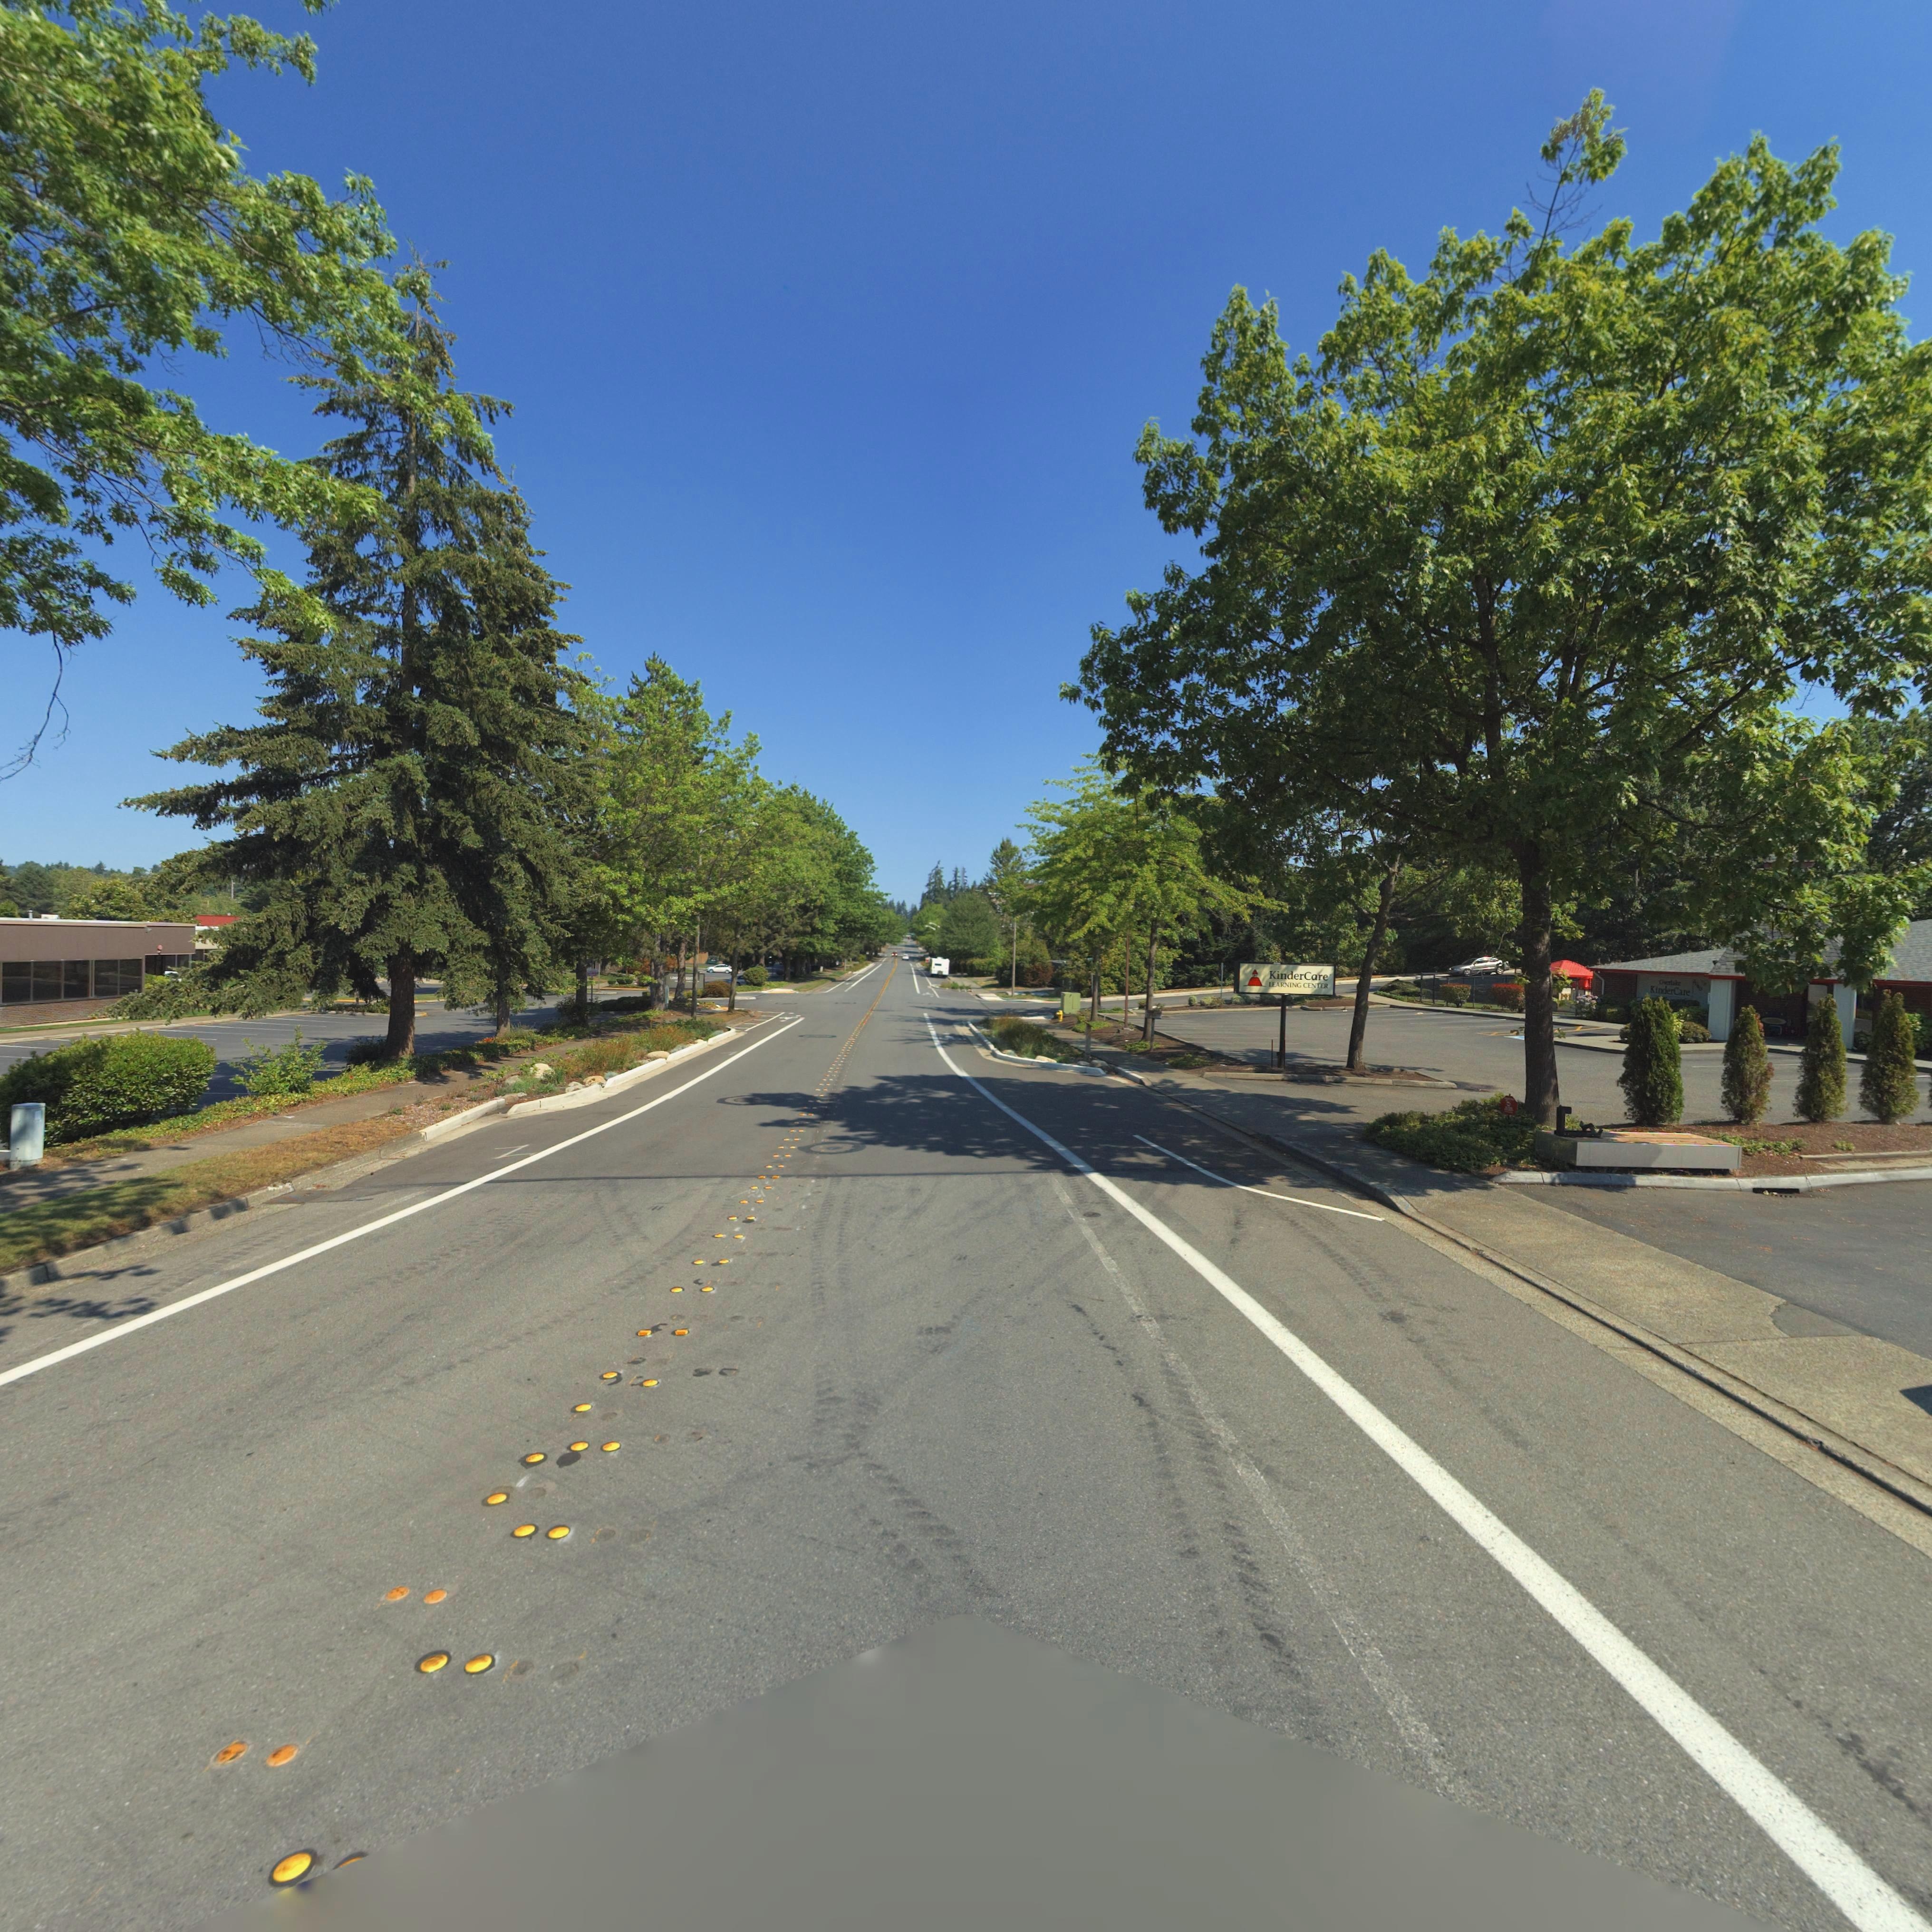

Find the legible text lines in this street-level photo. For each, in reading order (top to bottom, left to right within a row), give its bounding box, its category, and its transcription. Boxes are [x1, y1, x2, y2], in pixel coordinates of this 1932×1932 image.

[1269, 971, 1329, 981] BusinessName: KinderCare
[1268, 981, 1328, 988] BusinessName: LEARNING CENTER
[1659, 979, 1681, 985] BusinessName: Overlake
[1650, 985, 1690, 996] BusinessName: KinderCare